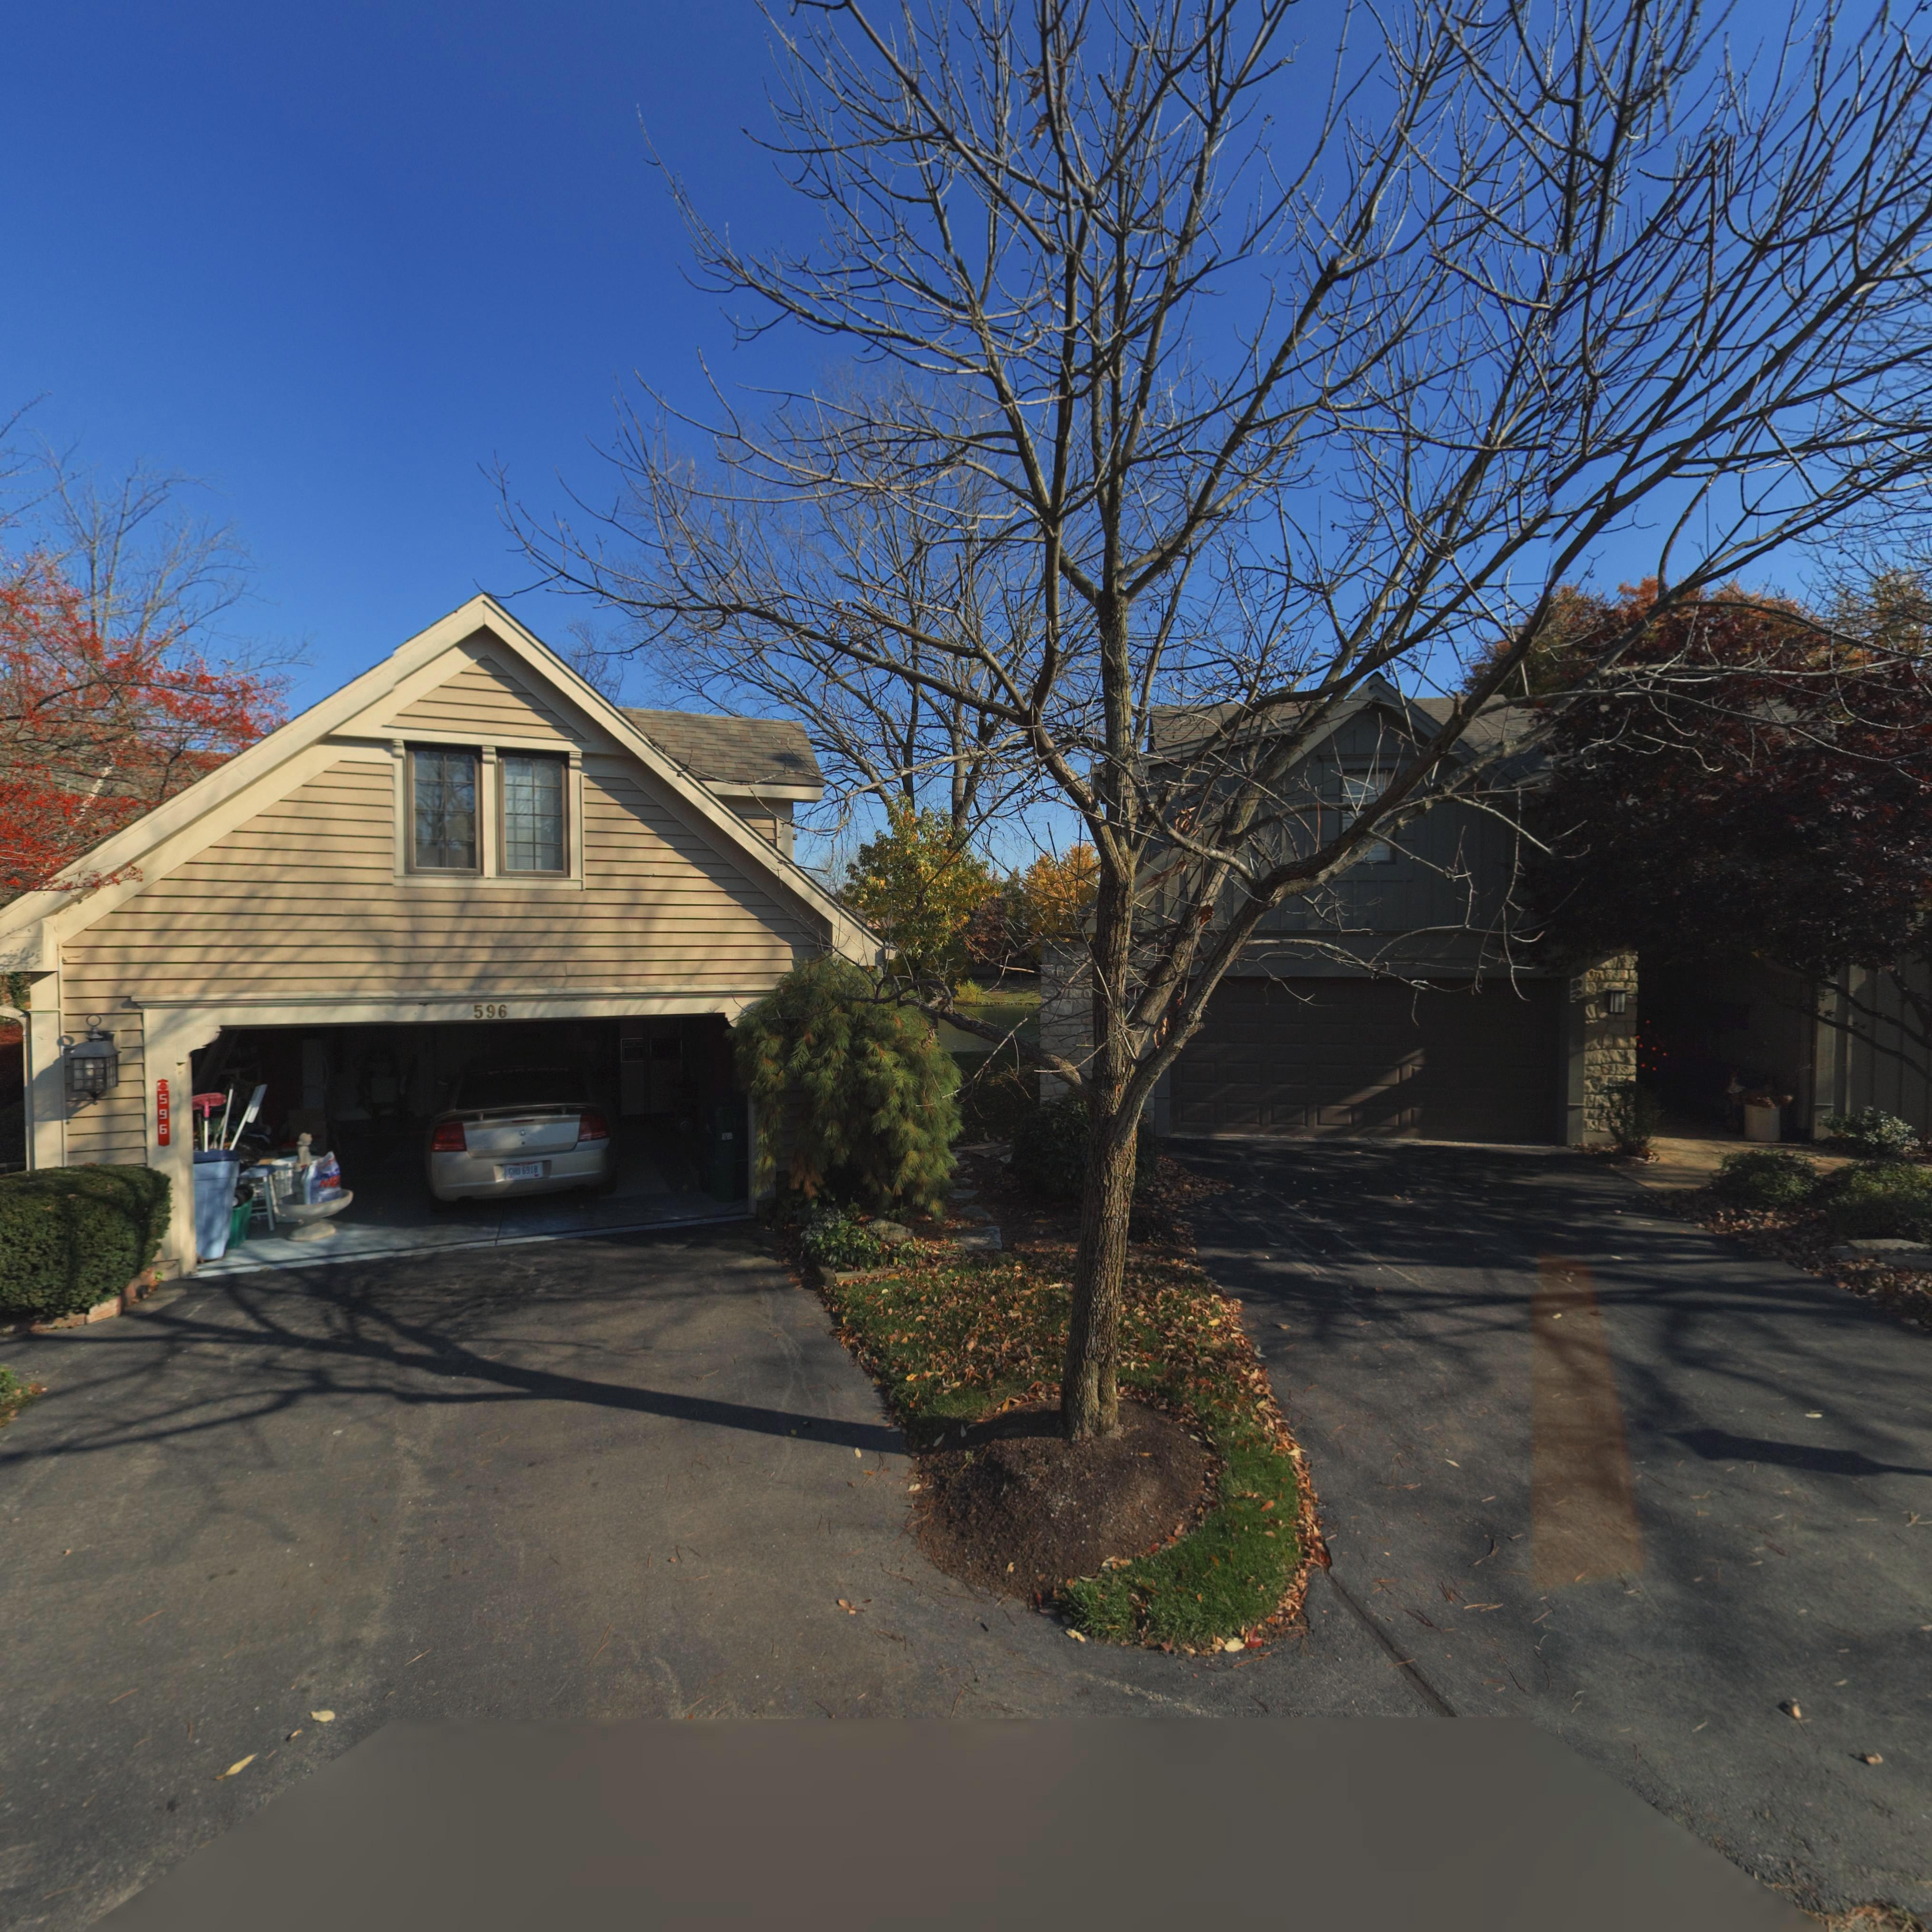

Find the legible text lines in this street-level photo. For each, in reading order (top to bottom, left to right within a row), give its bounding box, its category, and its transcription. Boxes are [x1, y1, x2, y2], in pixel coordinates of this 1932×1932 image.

[473, 1003, 508, 1019] StreetNumber: 596
[158, 1093, 168, 1135] StreetNumber: 596